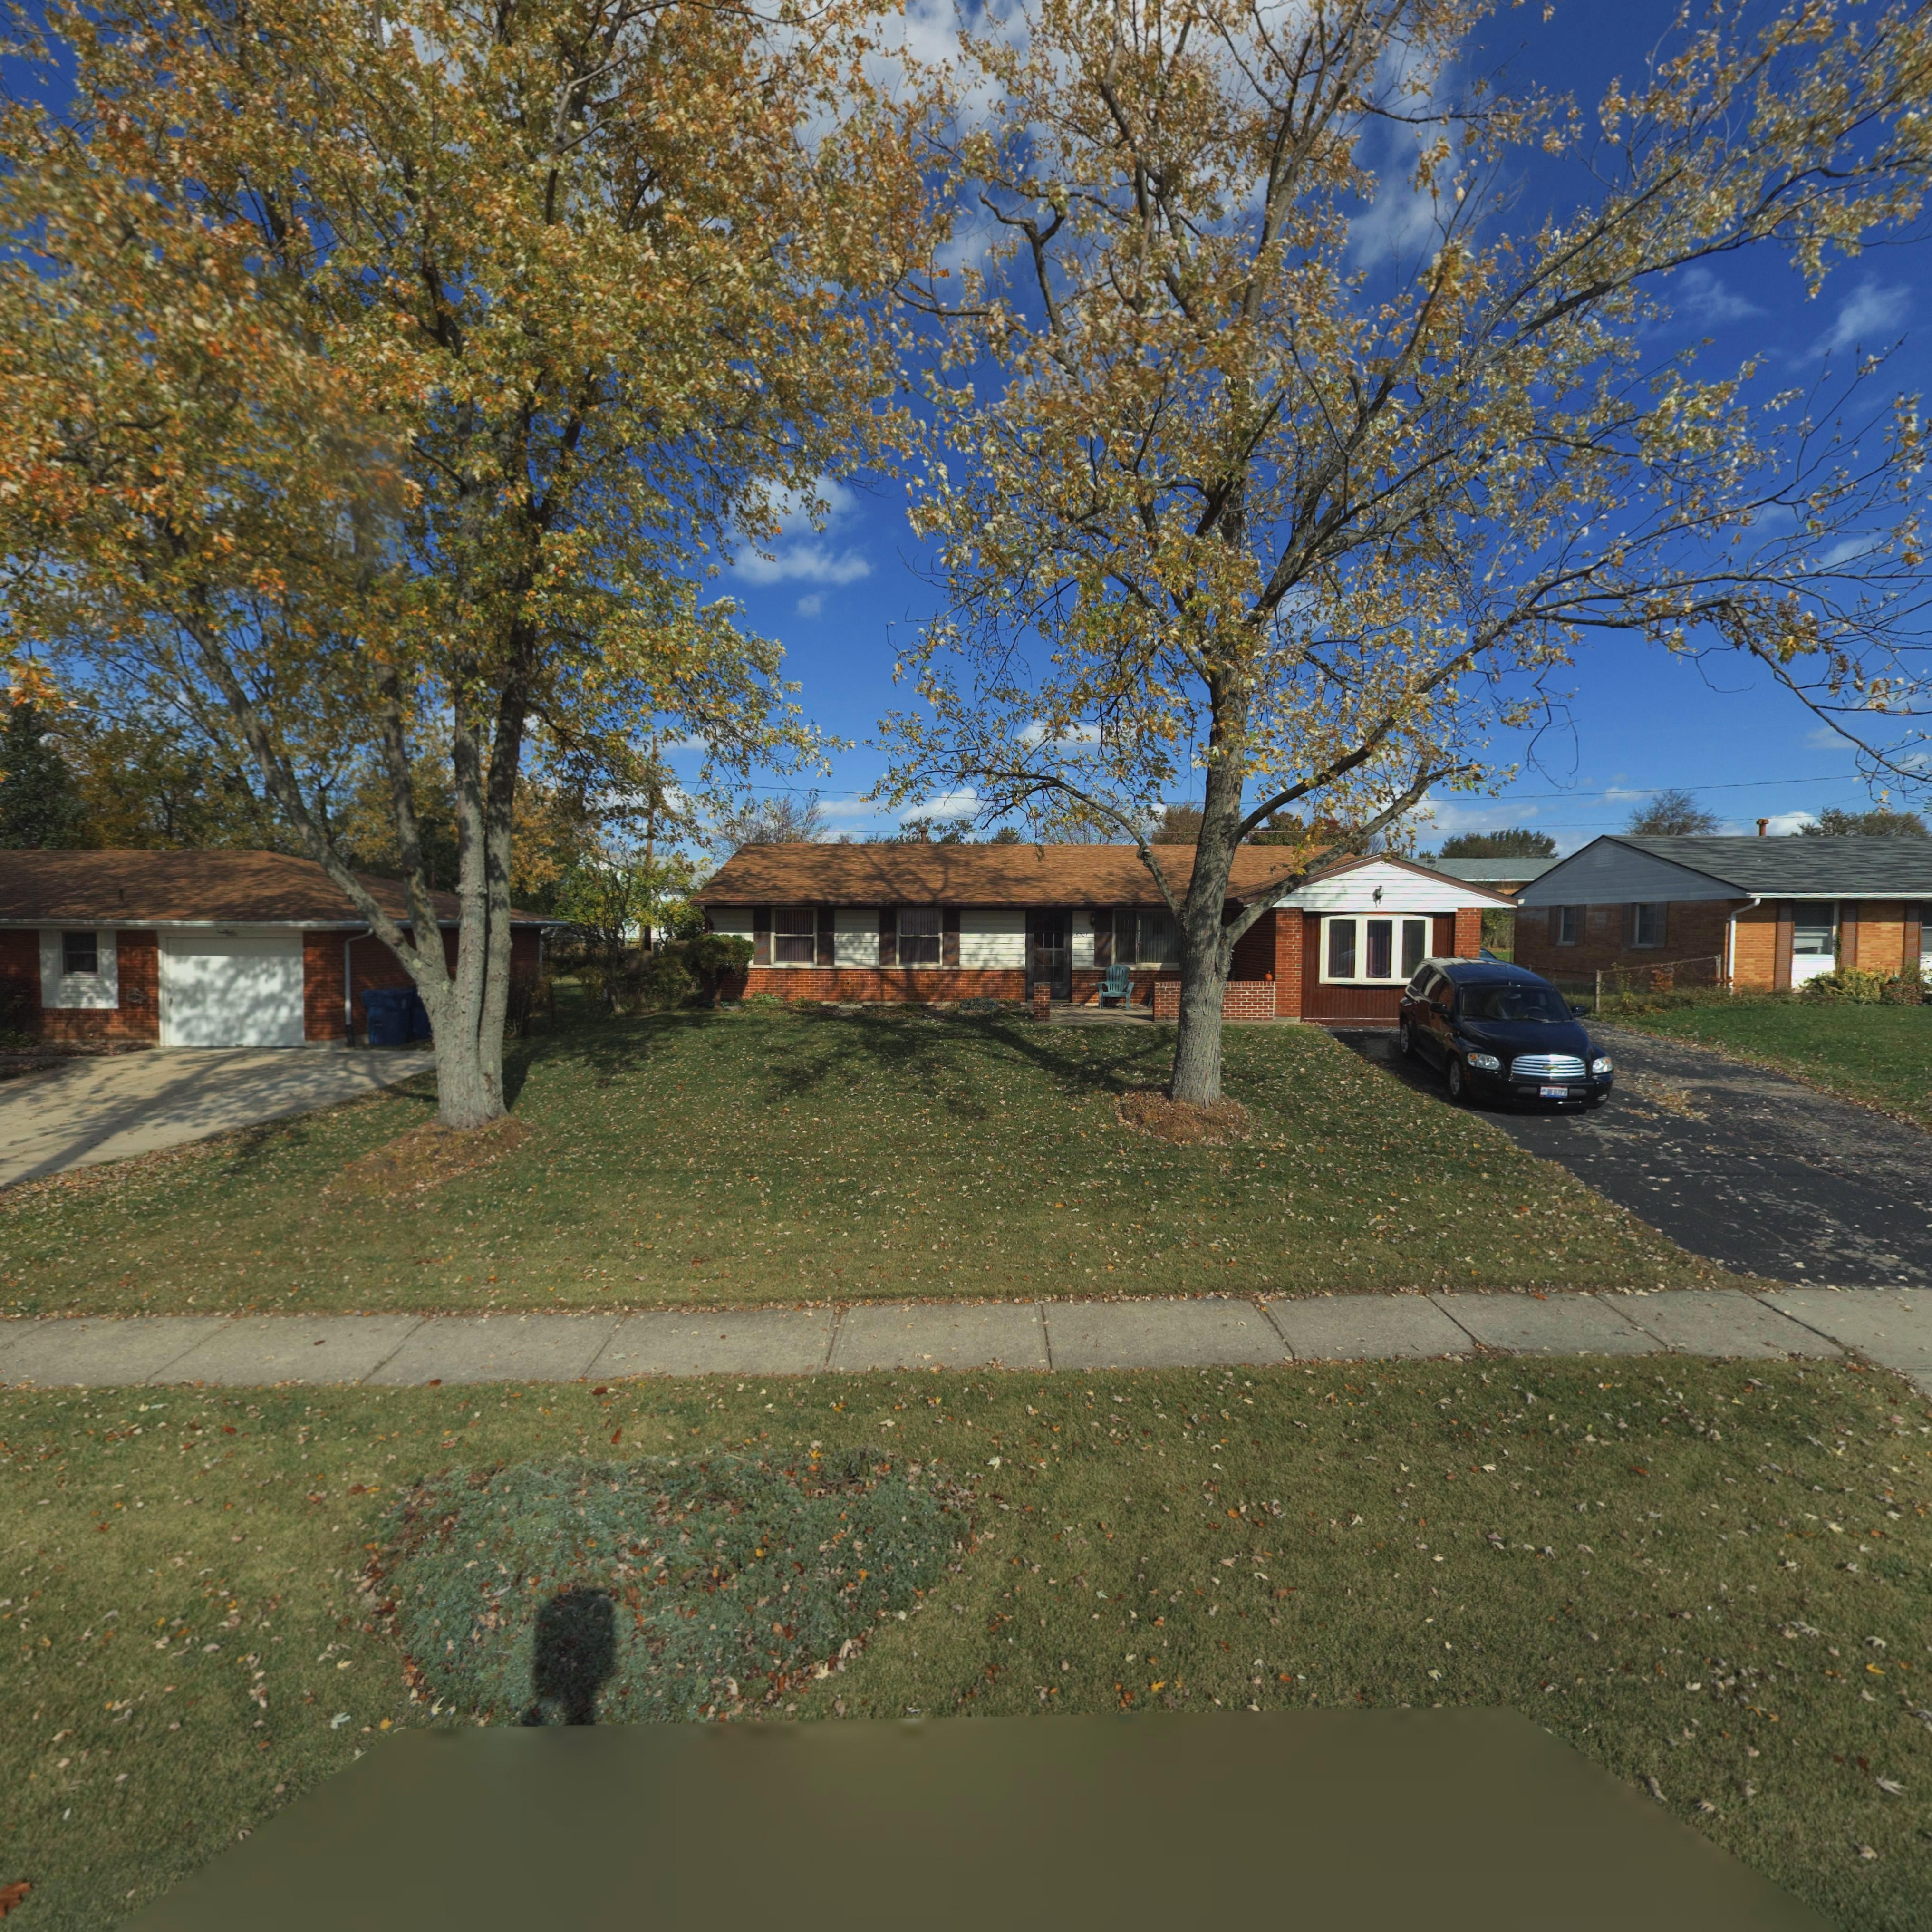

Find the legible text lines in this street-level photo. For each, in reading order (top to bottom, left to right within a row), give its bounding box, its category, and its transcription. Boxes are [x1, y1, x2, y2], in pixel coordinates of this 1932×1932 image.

[1075, 932, 1088, 937] StreetNumber: 6501